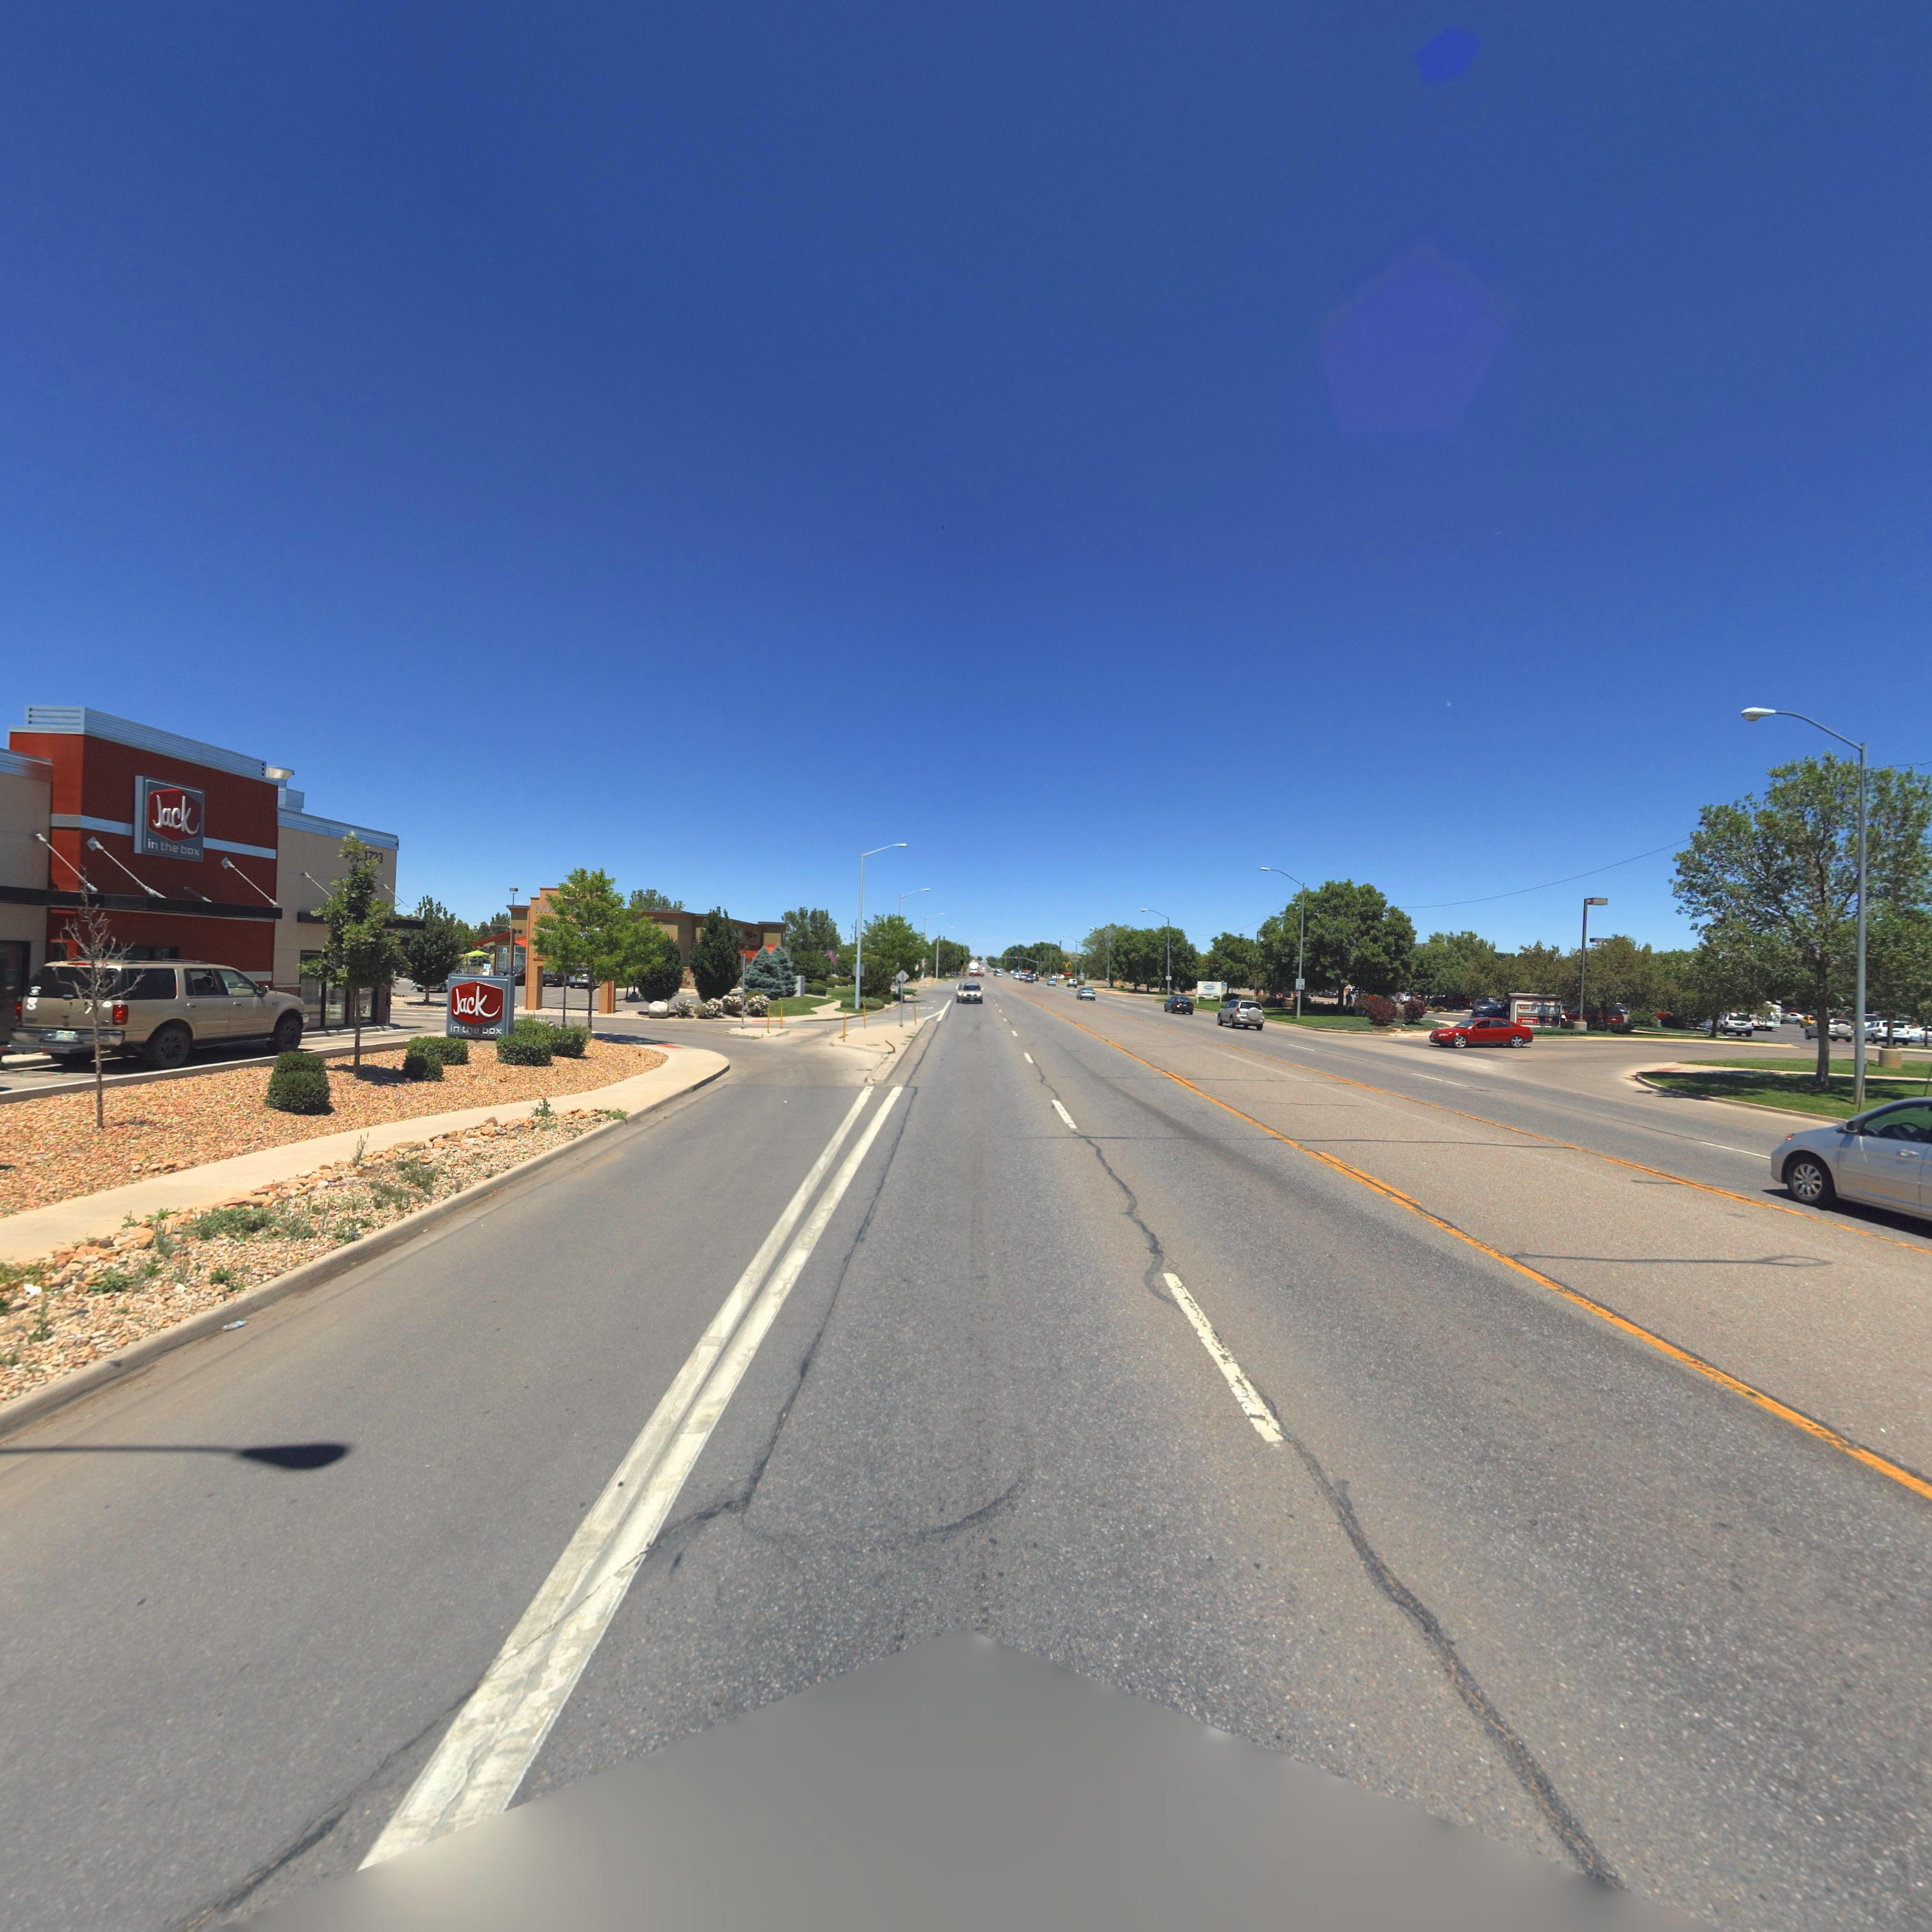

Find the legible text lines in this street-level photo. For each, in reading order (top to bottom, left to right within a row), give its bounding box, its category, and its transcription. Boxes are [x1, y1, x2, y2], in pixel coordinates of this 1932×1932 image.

[151, 794, 200, 835] BusinessName: Jack
[146, 837, 200, 856] BusinessName: in the box
[364, 849, 383, 864] StreetNumber: 1723
[535, 903, 556, 914] BusinessName: MA
[660, 918, 674, 923] StreetName: MA*N
[452, 985, 500, 1018] BusinessName: Jack
[1518, 1005, 1530, 1010] BusinessName: Save
[1521, 1019, 1534, 1023] BusinessName: VIDEO
[450, 1023, 502, 1035] BusinessName: in the box